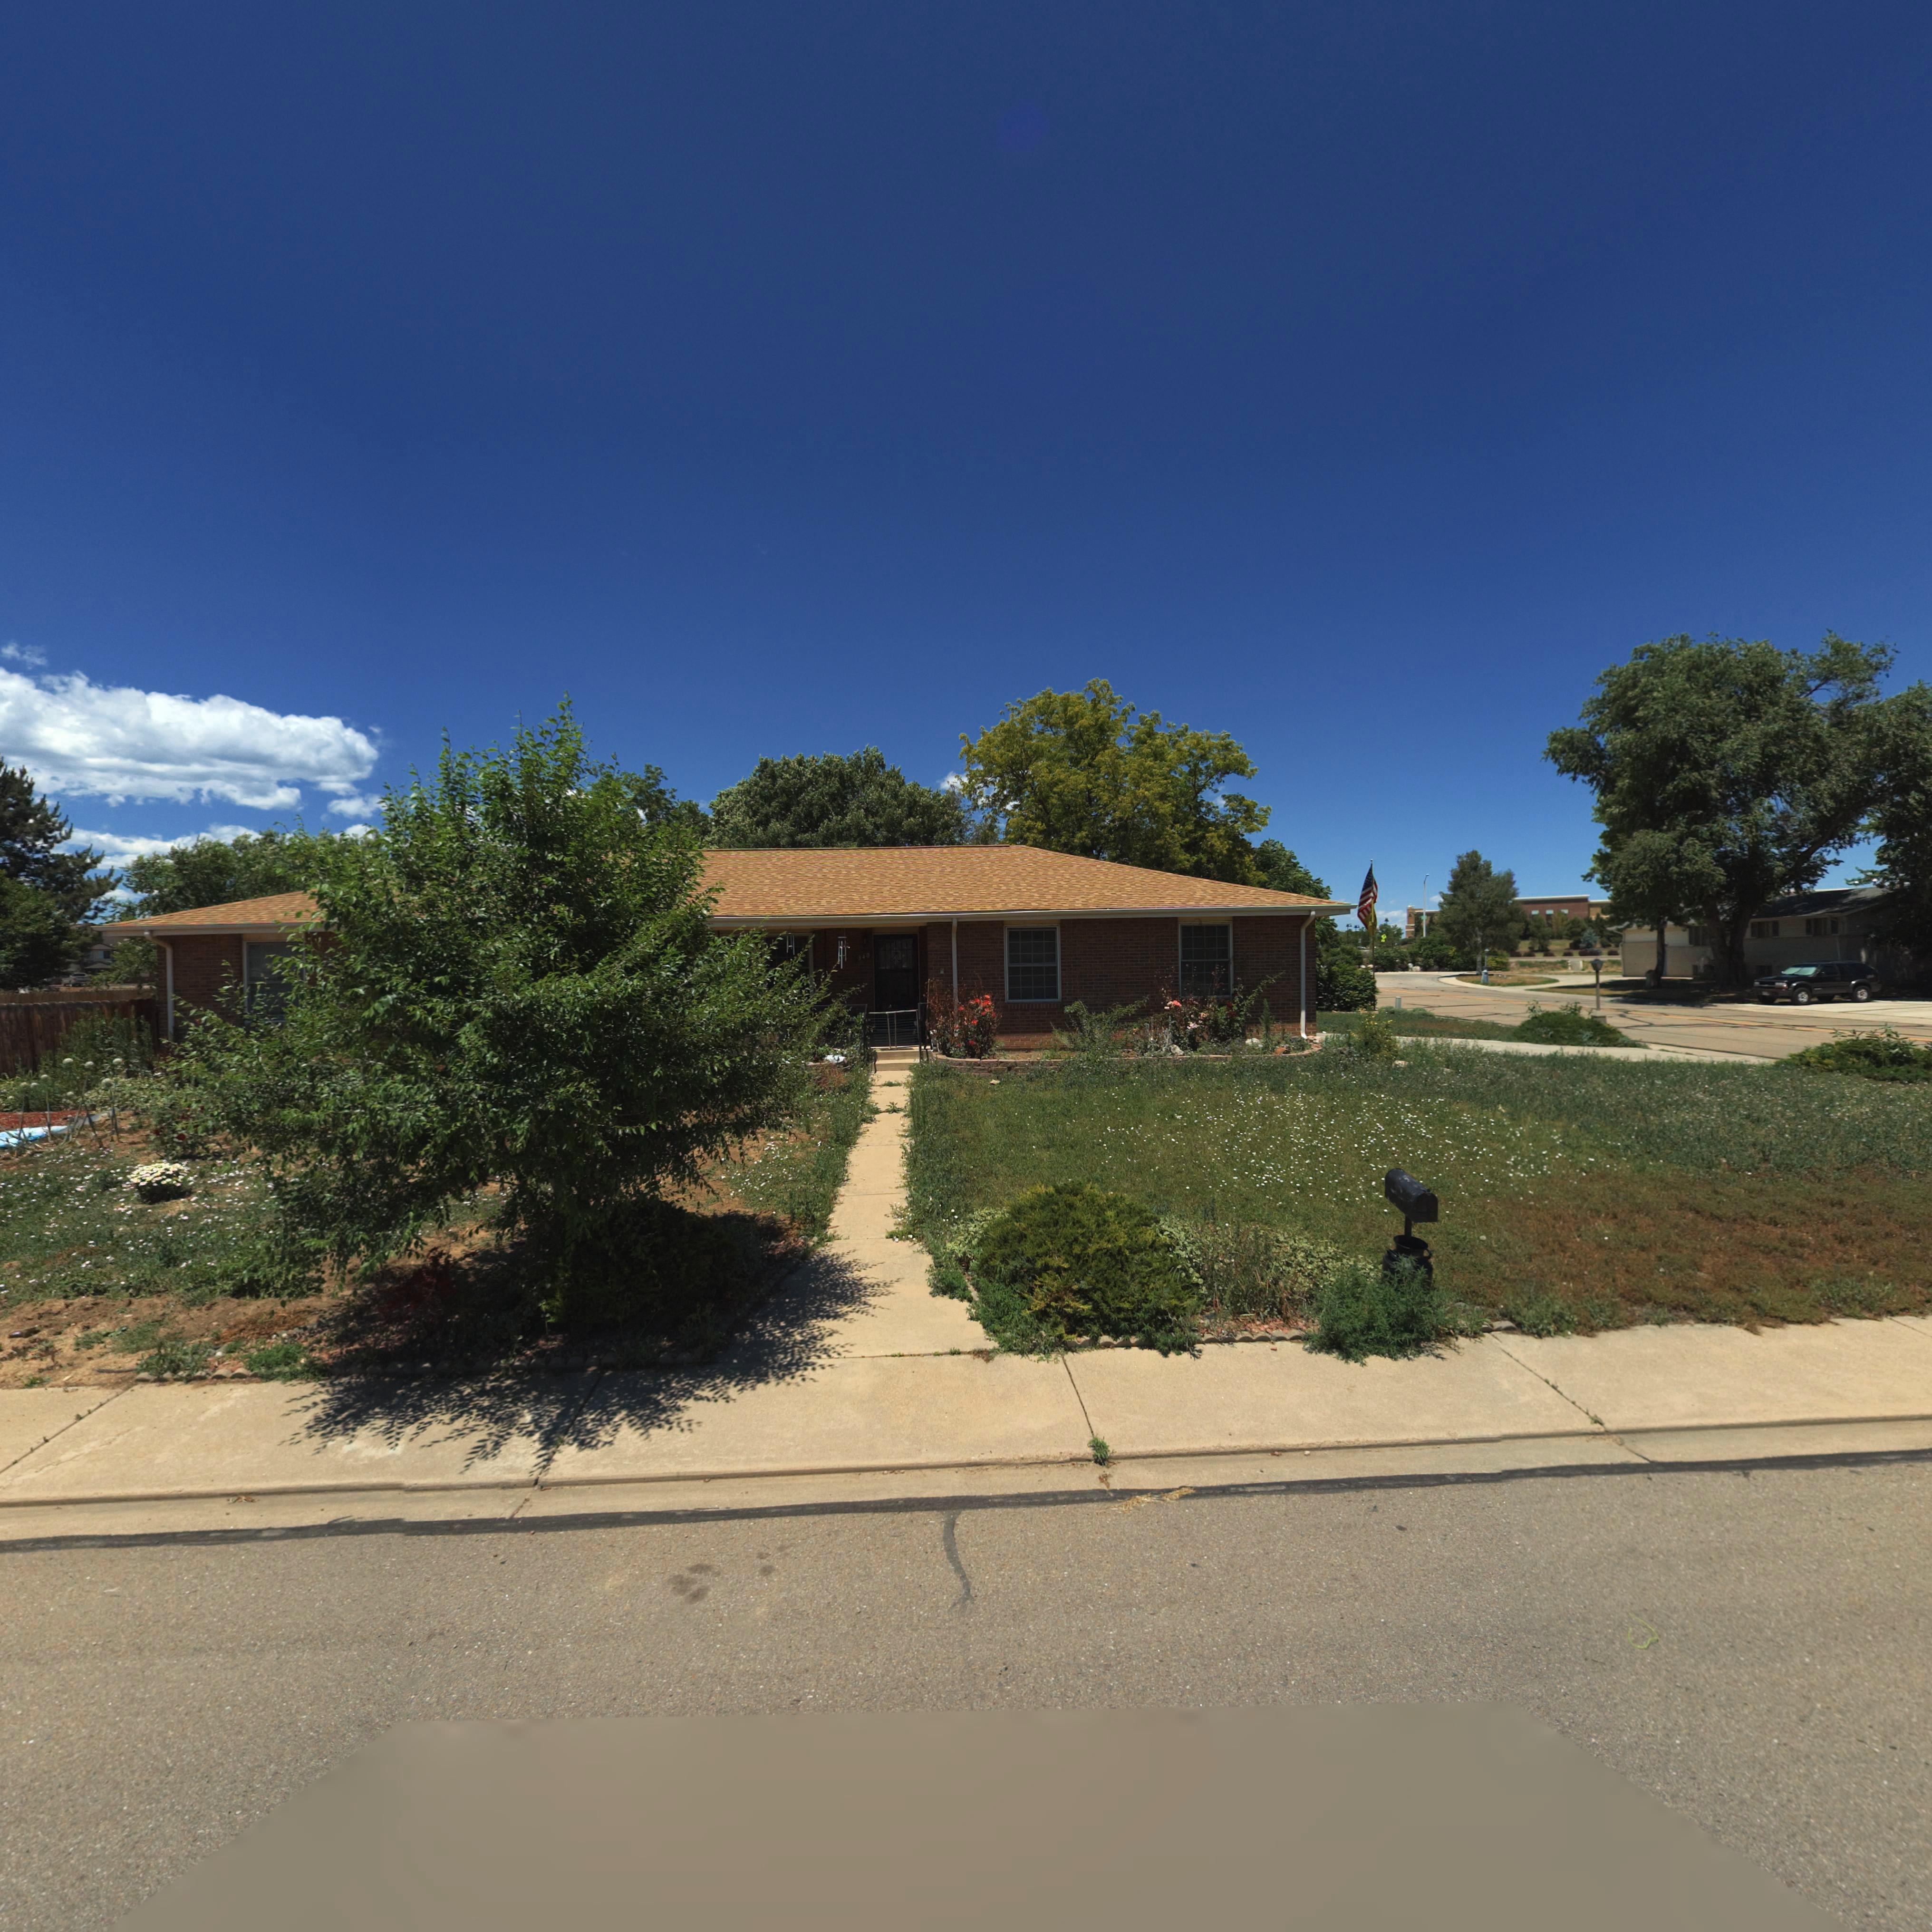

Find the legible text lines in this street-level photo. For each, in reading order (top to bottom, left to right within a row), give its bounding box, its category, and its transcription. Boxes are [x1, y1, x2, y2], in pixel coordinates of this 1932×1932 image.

[858, 952, 870, 960] StreetNumber: 340